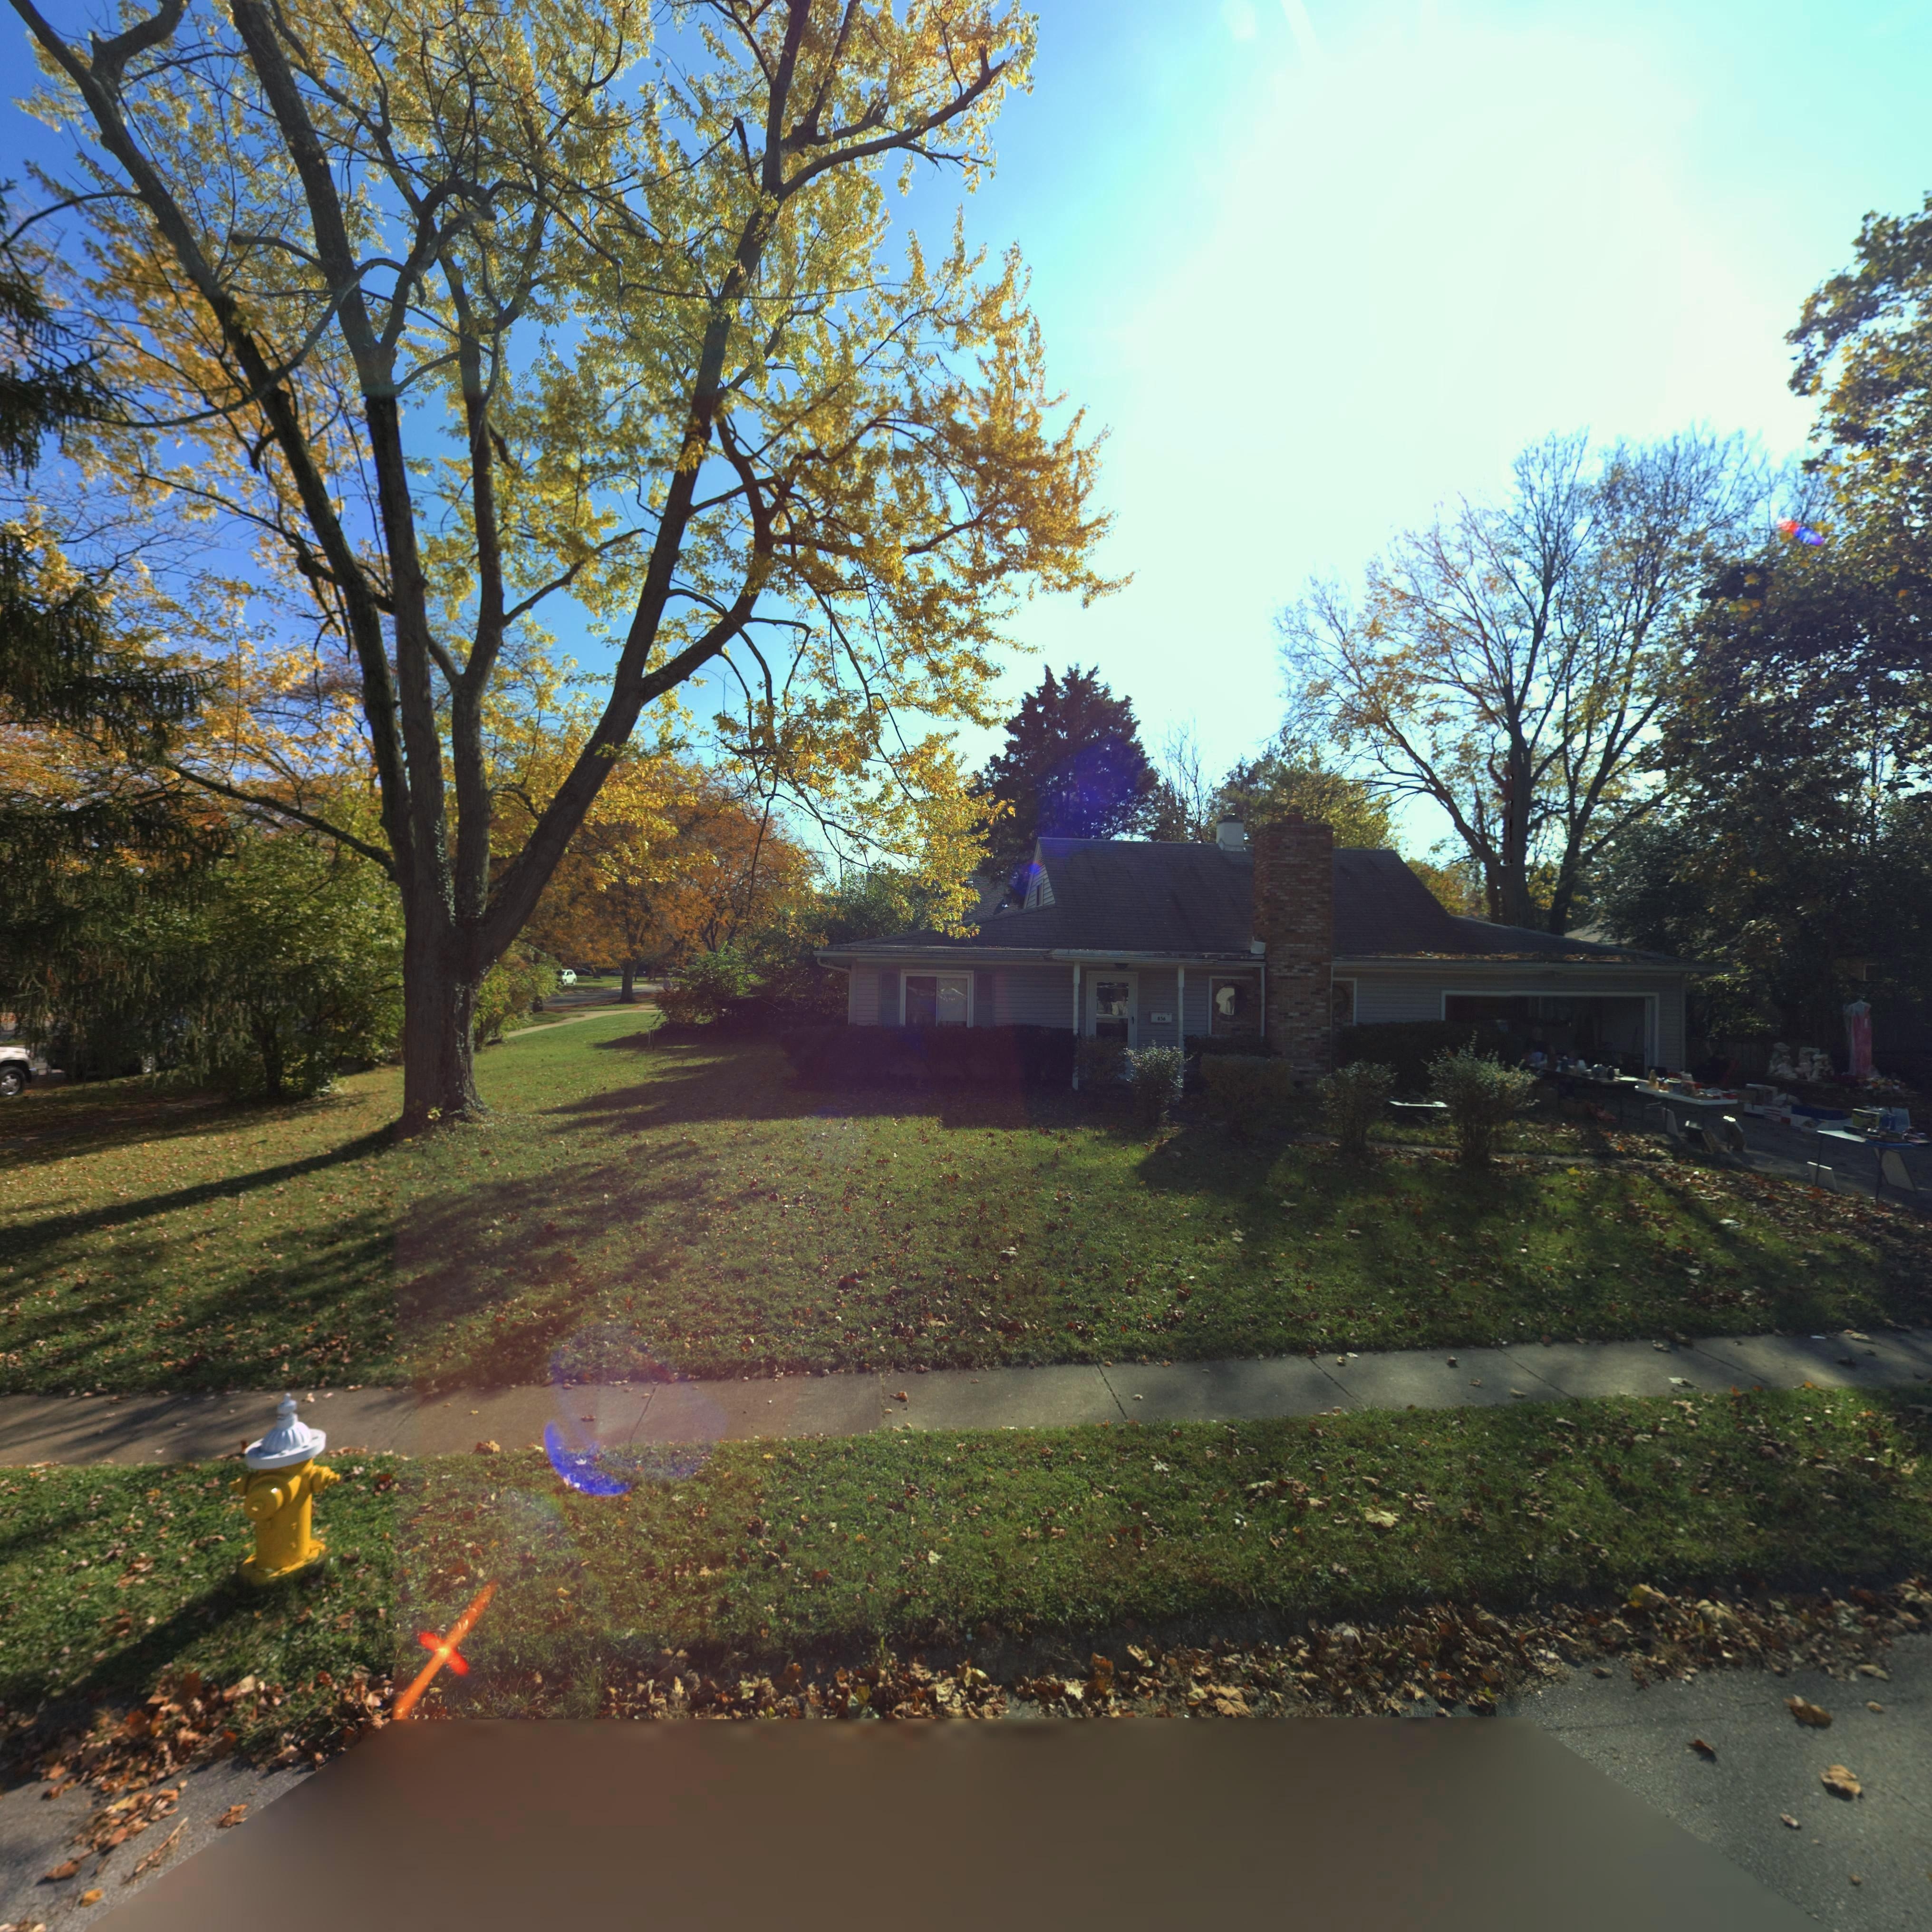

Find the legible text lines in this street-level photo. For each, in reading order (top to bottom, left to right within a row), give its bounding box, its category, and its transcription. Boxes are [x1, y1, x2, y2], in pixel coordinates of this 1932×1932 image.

[1157, 1016, 1166, 1021] StreetNumber: 856